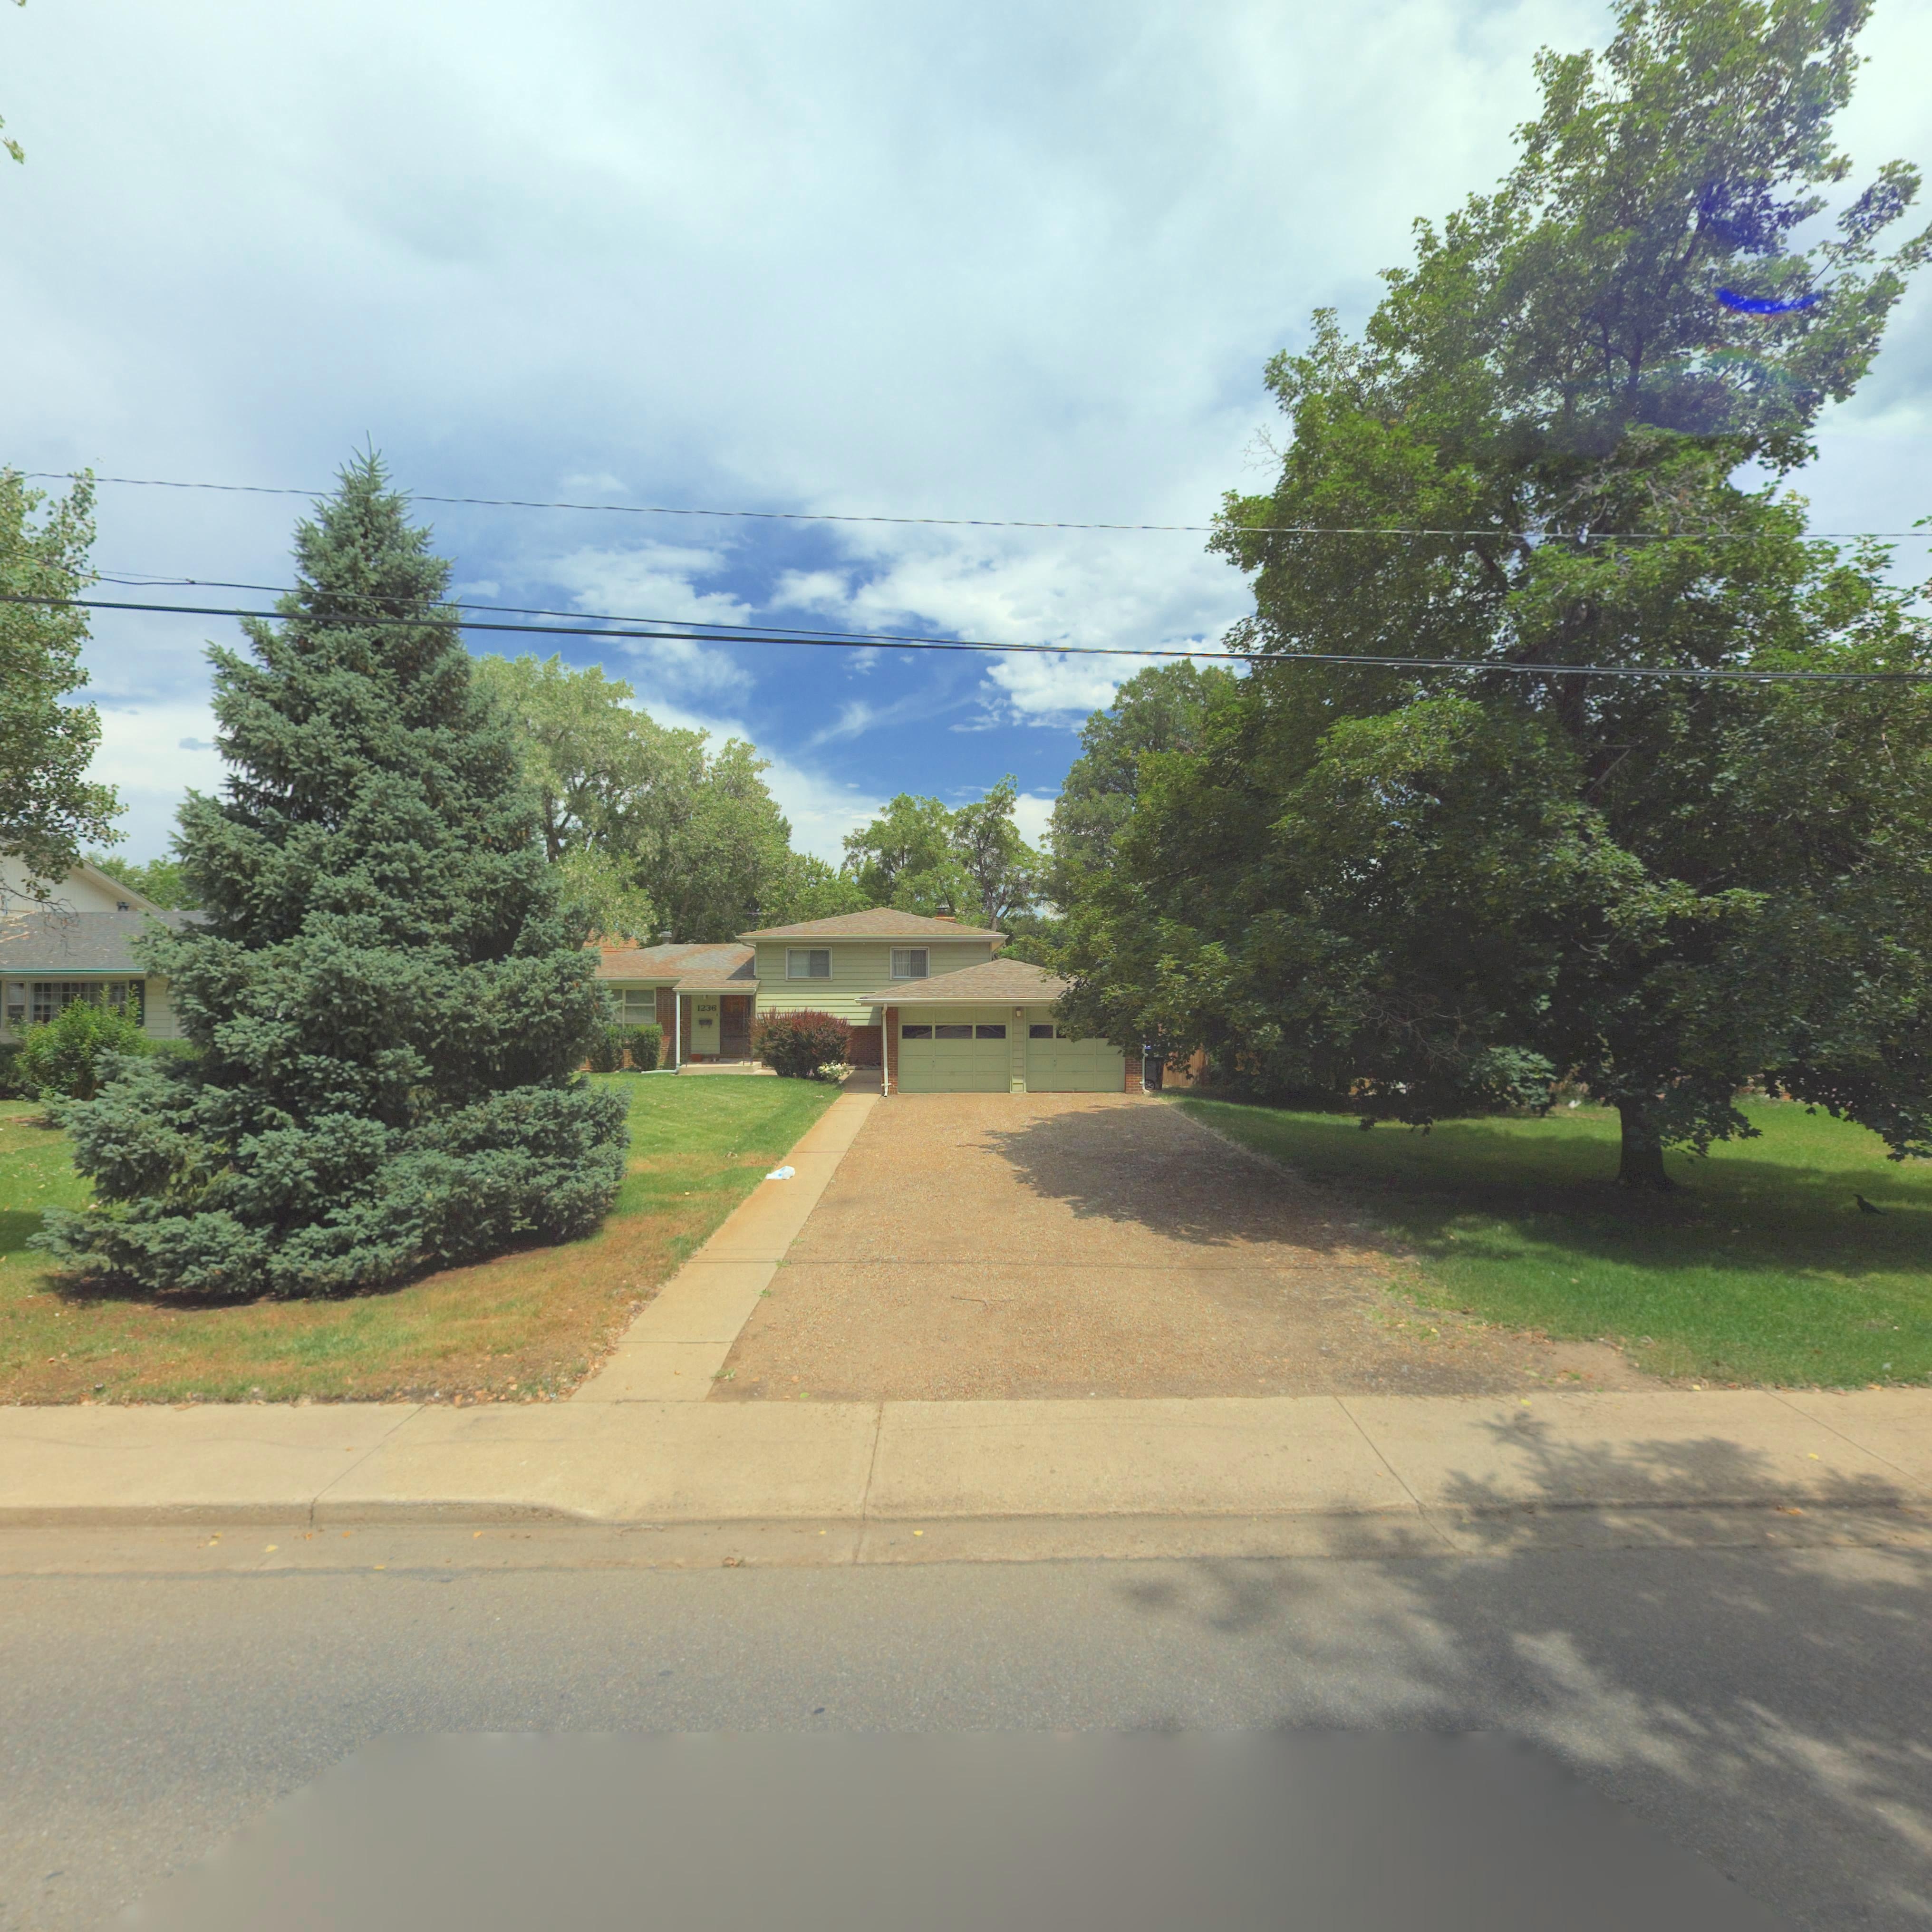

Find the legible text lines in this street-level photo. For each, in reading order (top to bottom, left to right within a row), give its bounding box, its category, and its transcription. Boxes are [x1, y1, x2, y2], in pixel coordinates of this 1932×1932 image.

[696, 1004, 717, 1012] StreetNumber: 1236